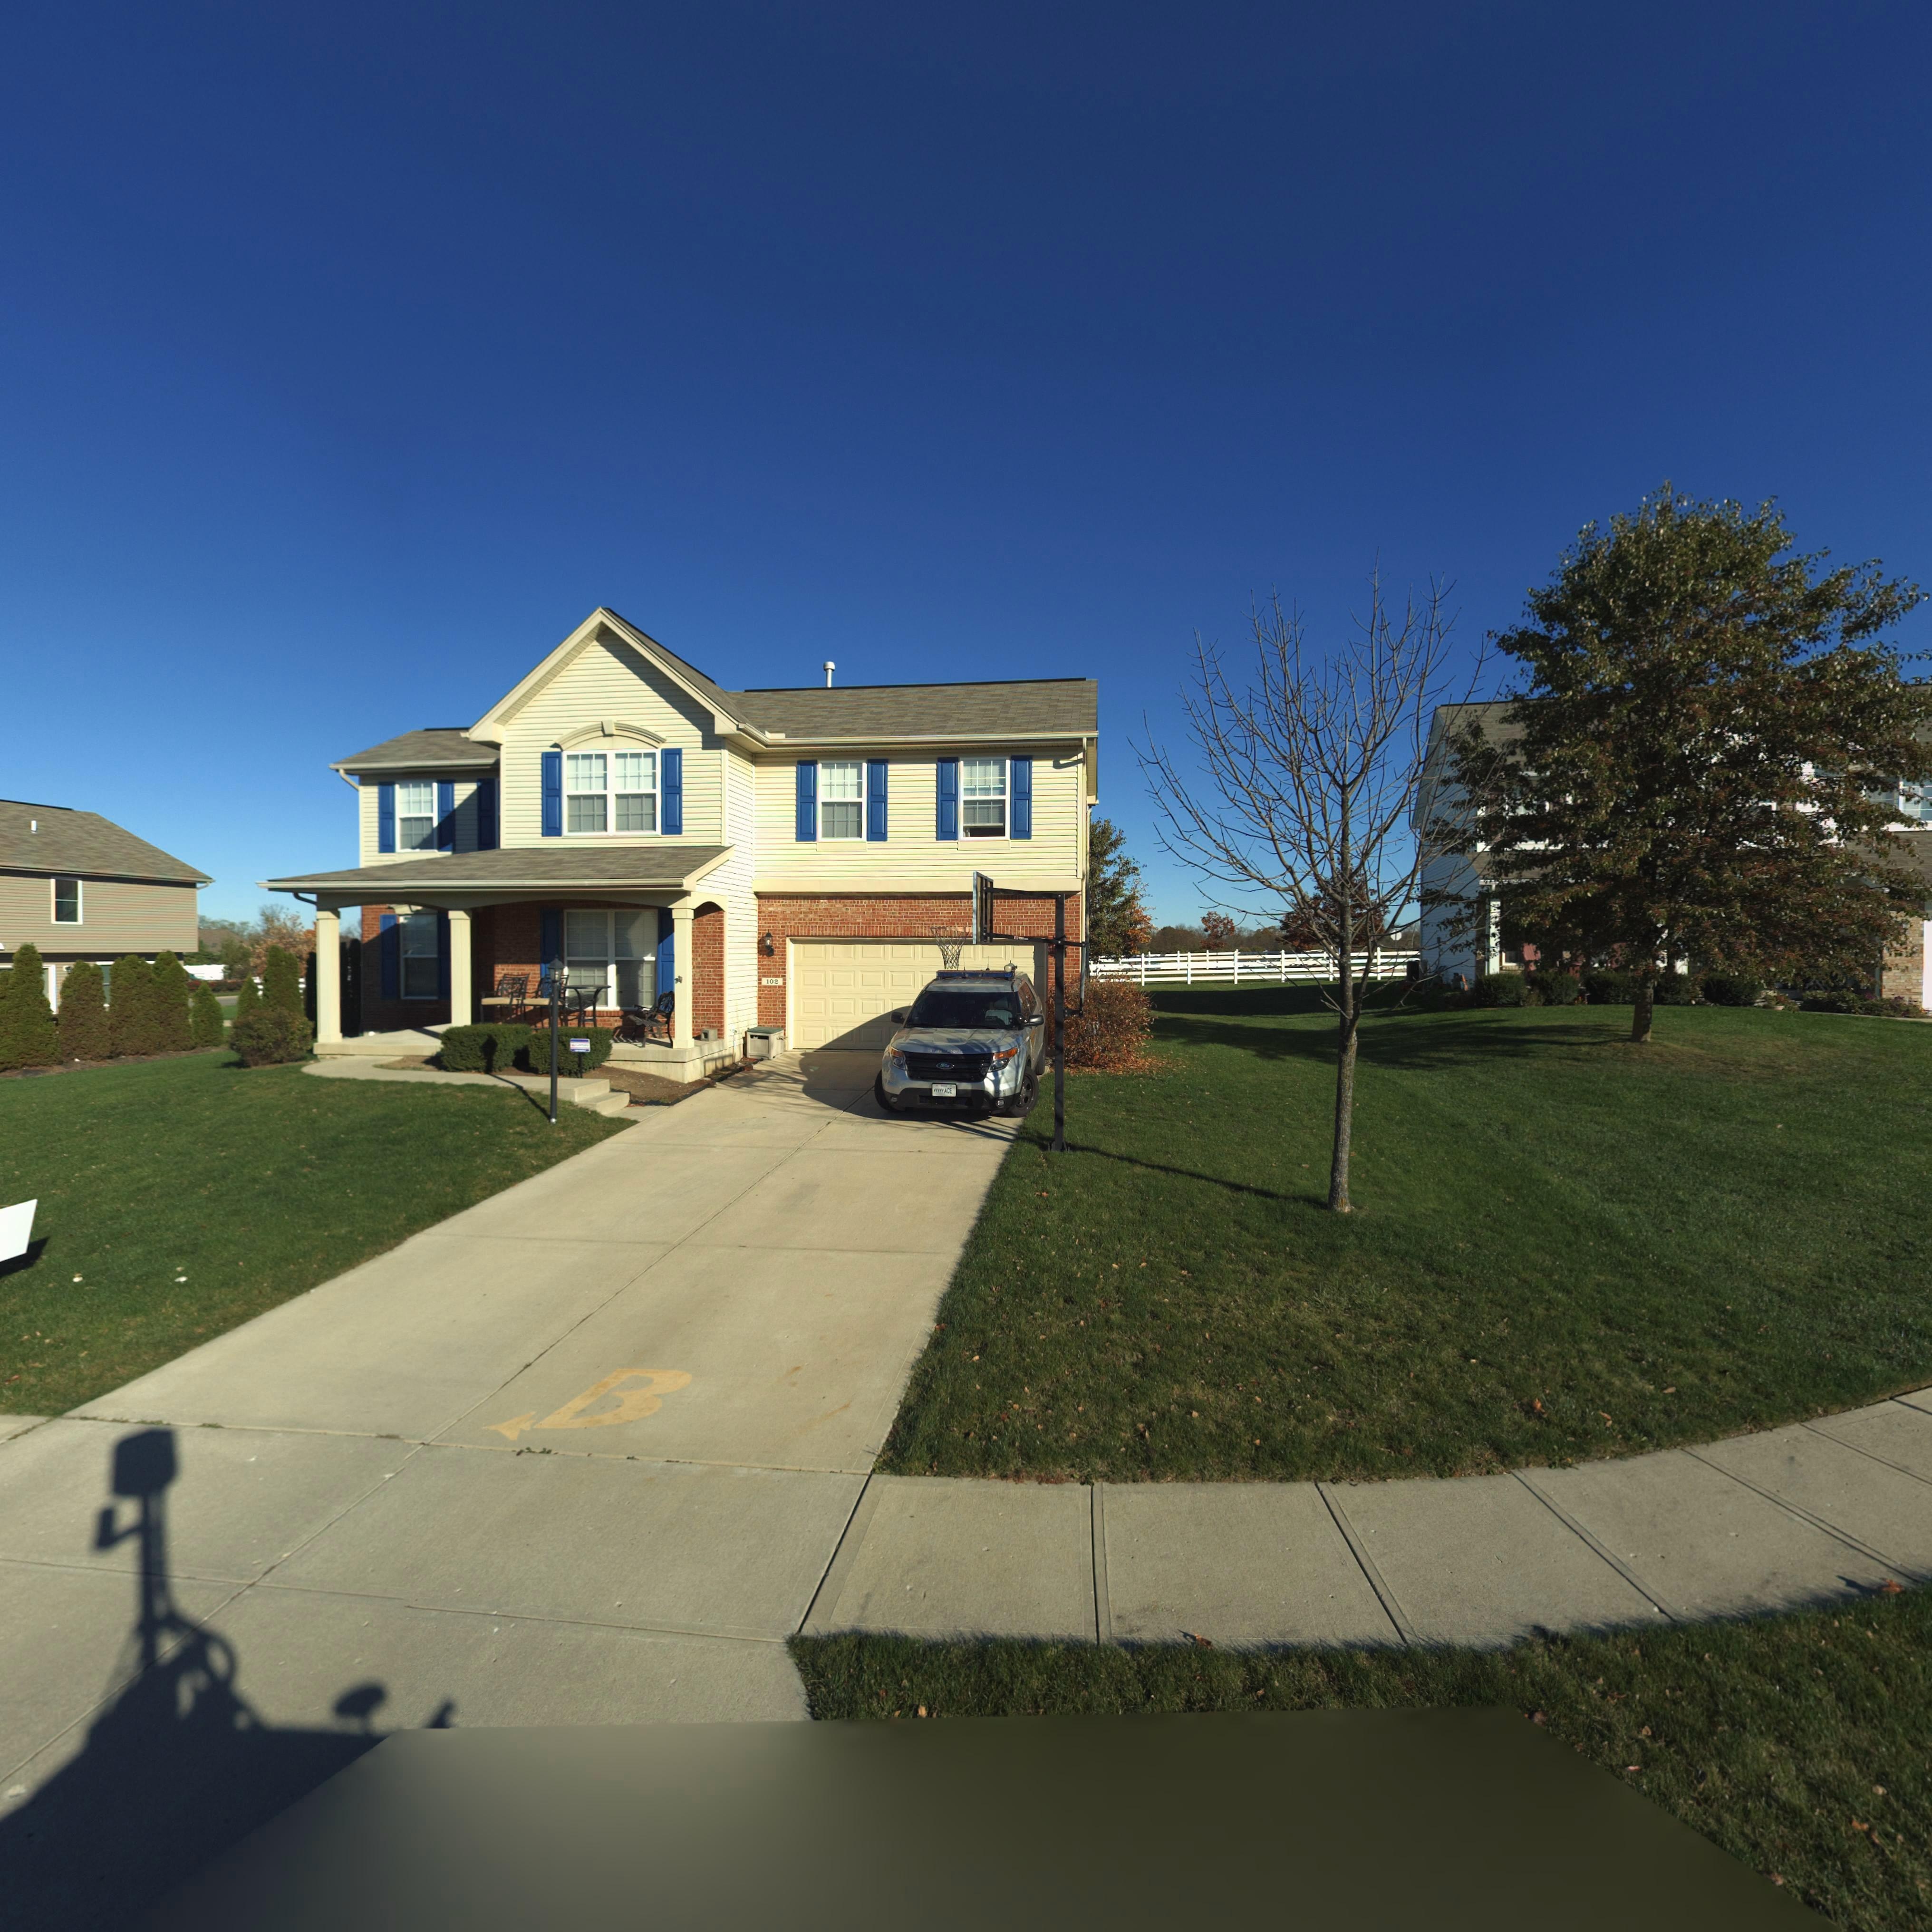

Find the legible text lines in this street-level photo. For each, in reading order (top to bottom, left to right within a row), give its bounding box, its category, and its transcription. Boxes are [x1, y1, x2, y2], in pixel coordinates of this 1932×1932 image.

[765, 978, 779, 985] StreetNumber: 102
[942, 1086, 952, 1094] None: ACE